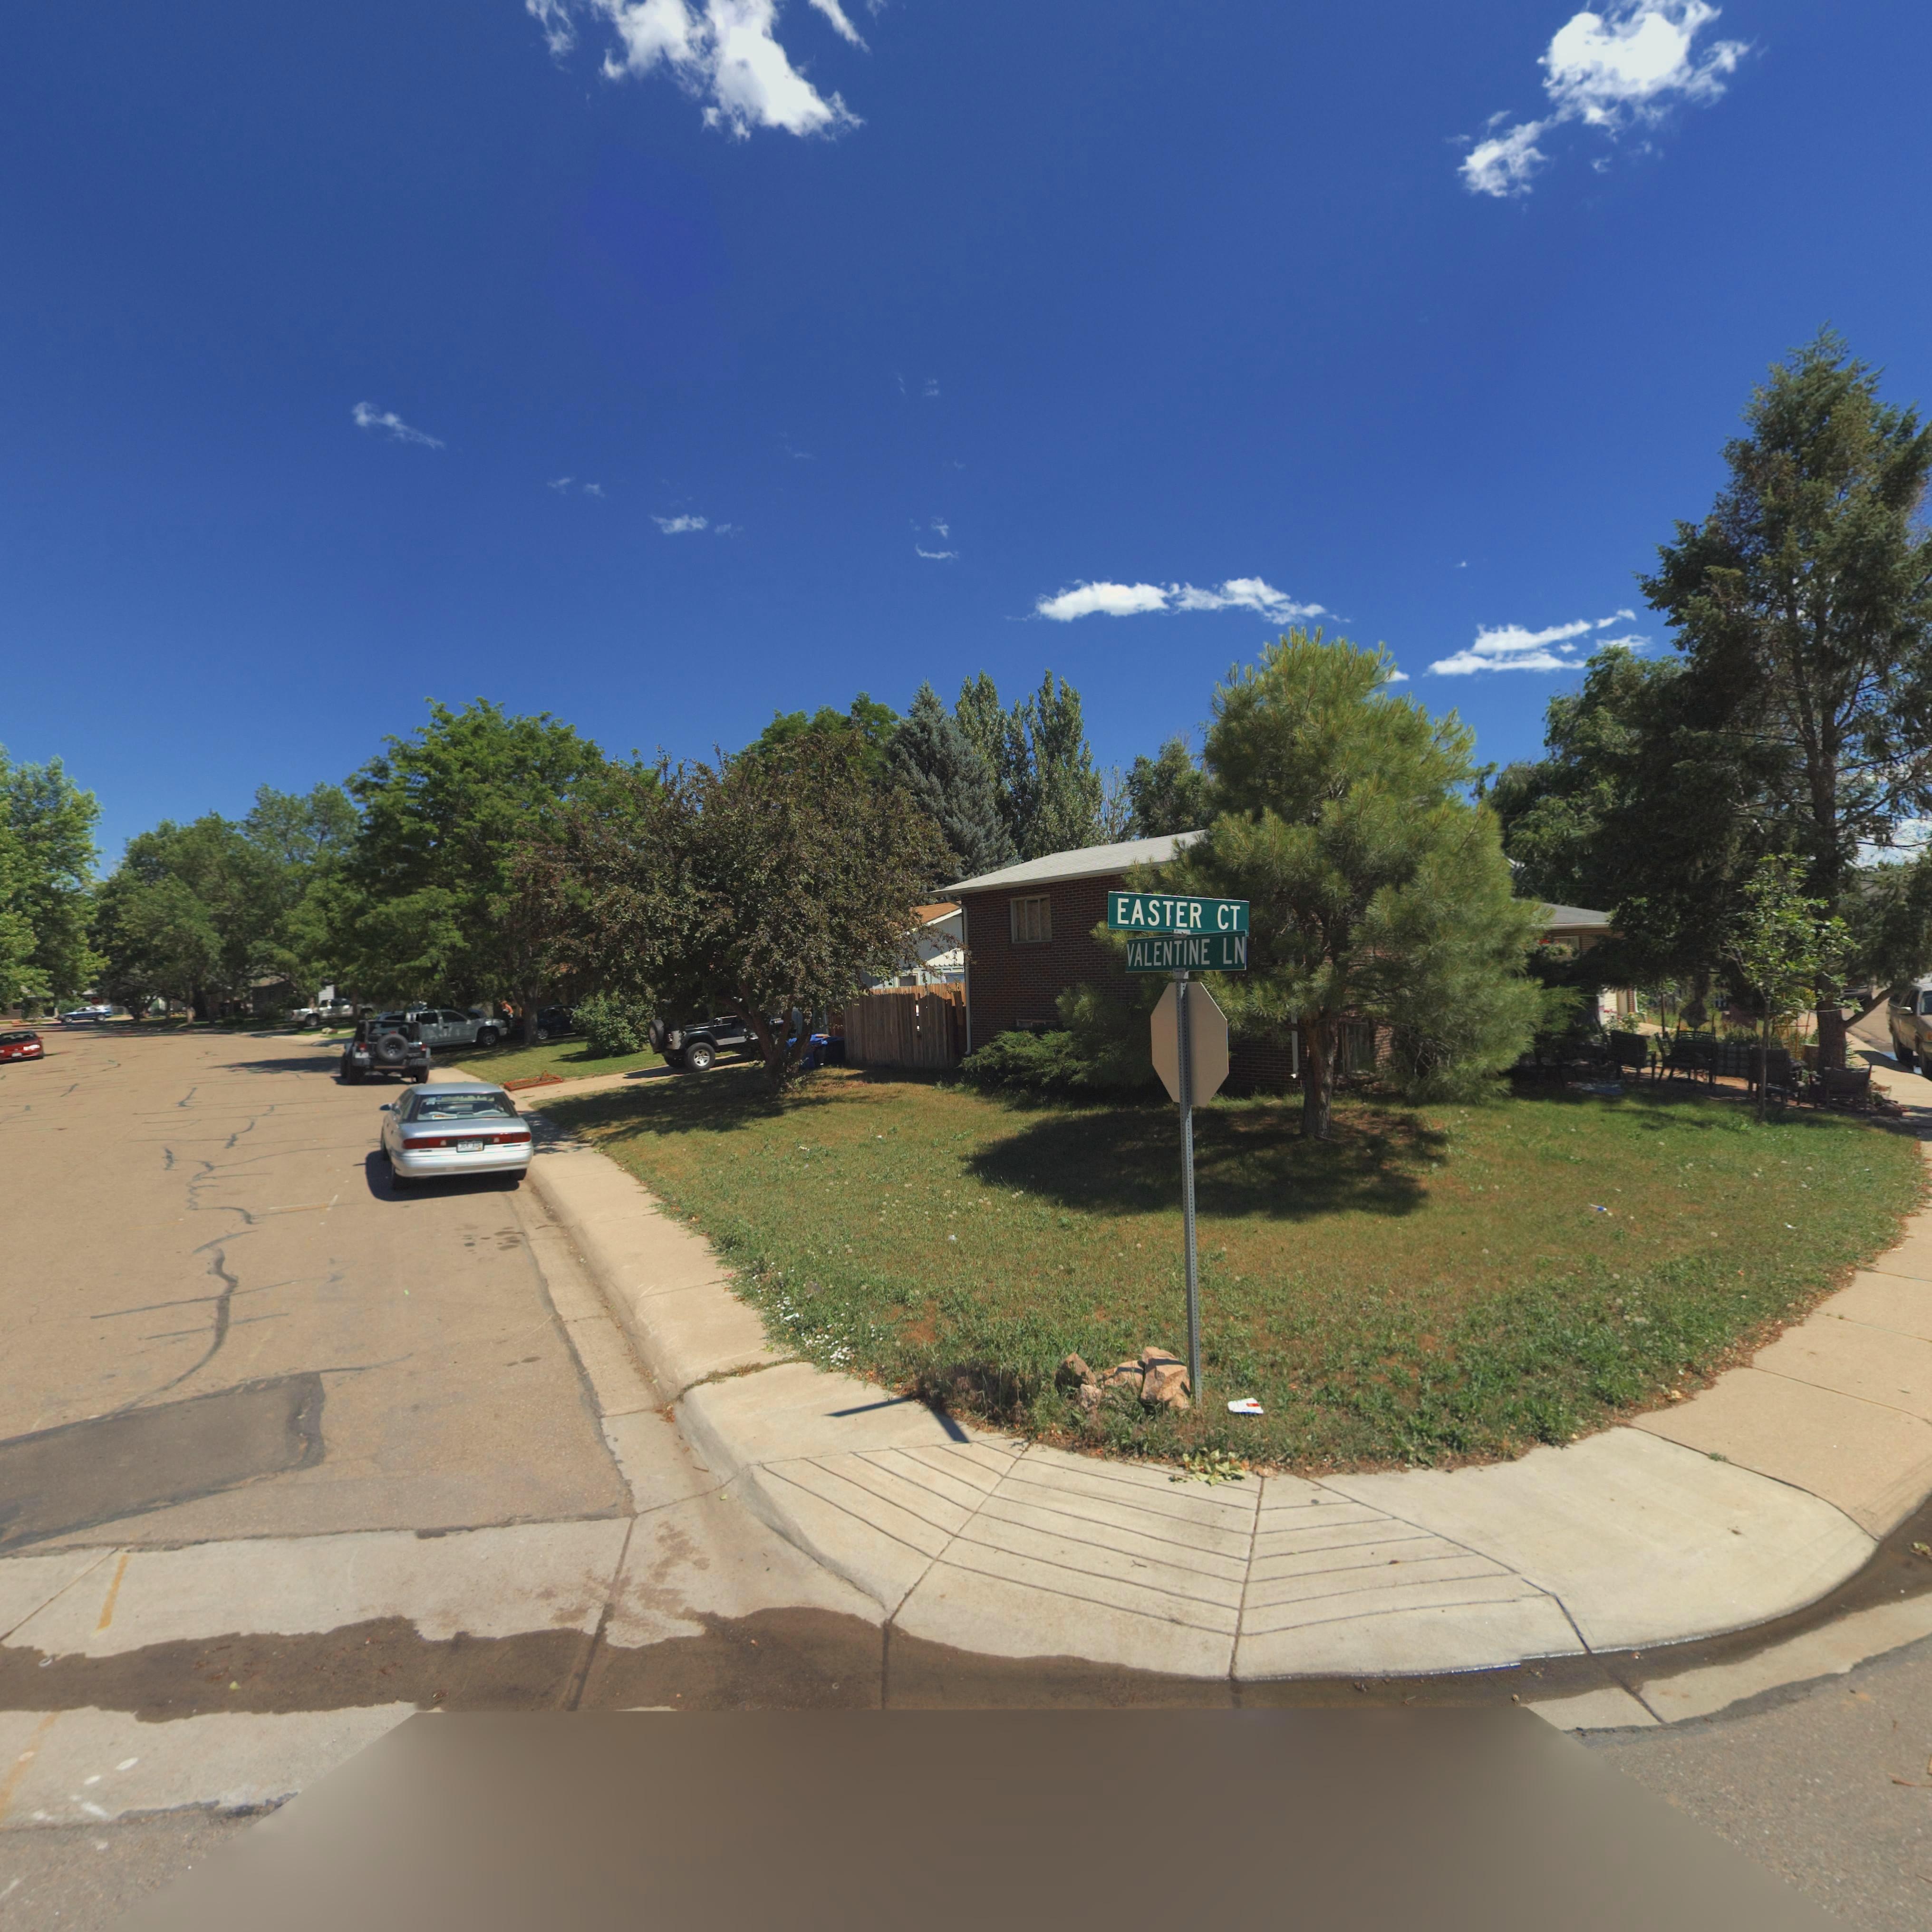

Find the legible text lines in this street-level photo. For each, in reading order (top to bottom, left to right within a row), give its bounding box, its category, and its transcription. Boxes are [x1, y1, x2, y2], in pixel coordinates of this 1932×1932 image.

[1117, 897, 1241, 930] StreetName: EASTER CT
[1126, 936, 1245, 966] StreetName: VALENTINE LN